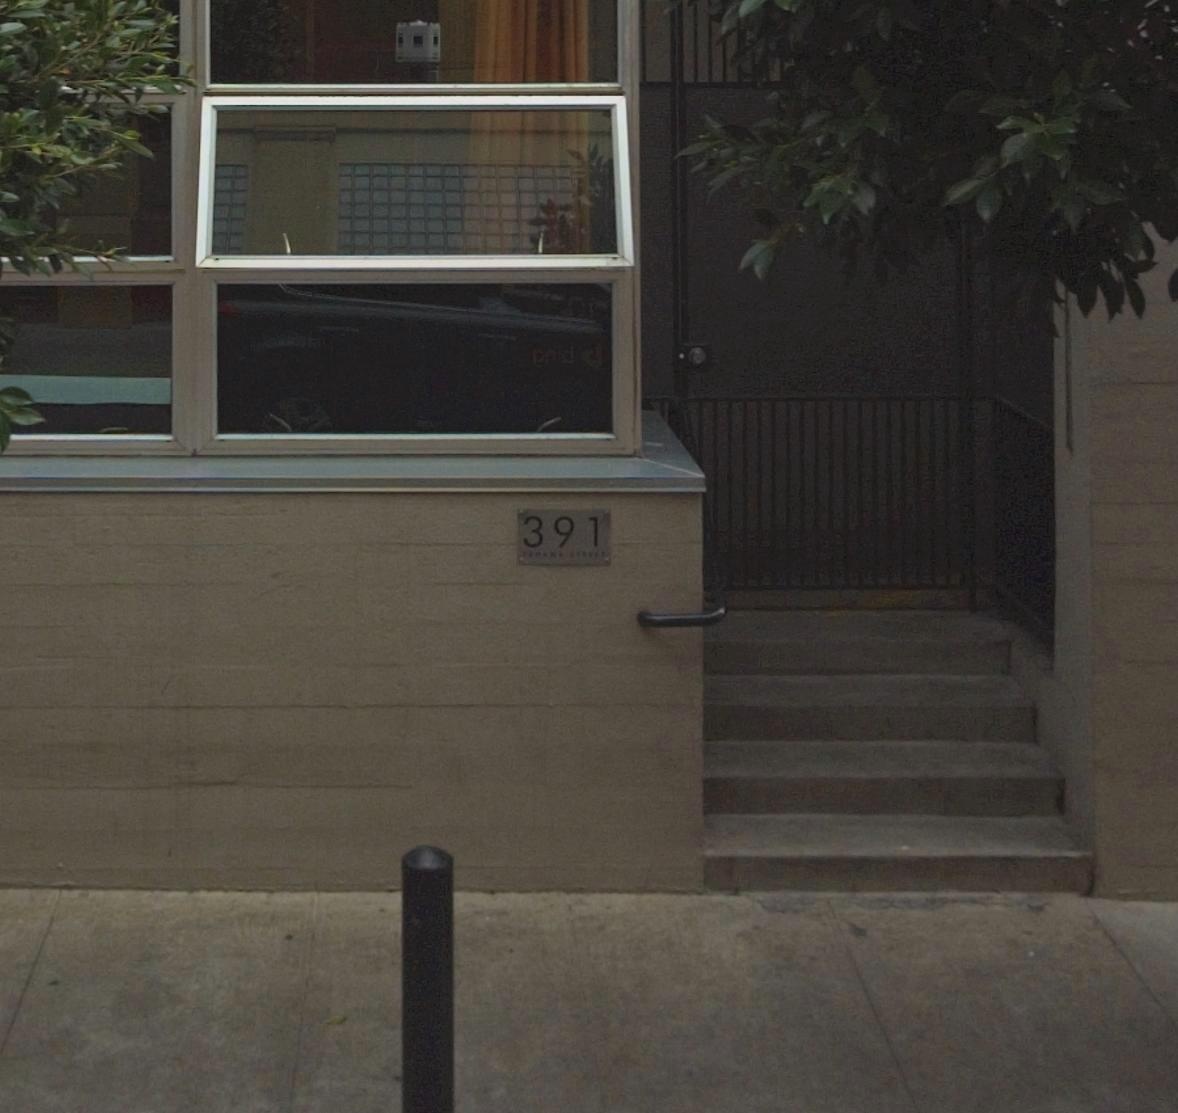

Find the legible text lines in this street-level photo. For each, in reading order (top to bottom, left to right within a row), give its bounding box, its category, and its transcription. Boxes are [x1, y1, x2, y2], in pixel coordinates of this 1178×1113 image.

[528, 341, 577, 370] None: **i*
[521, 513, 602, 551] StreetNumber: 391